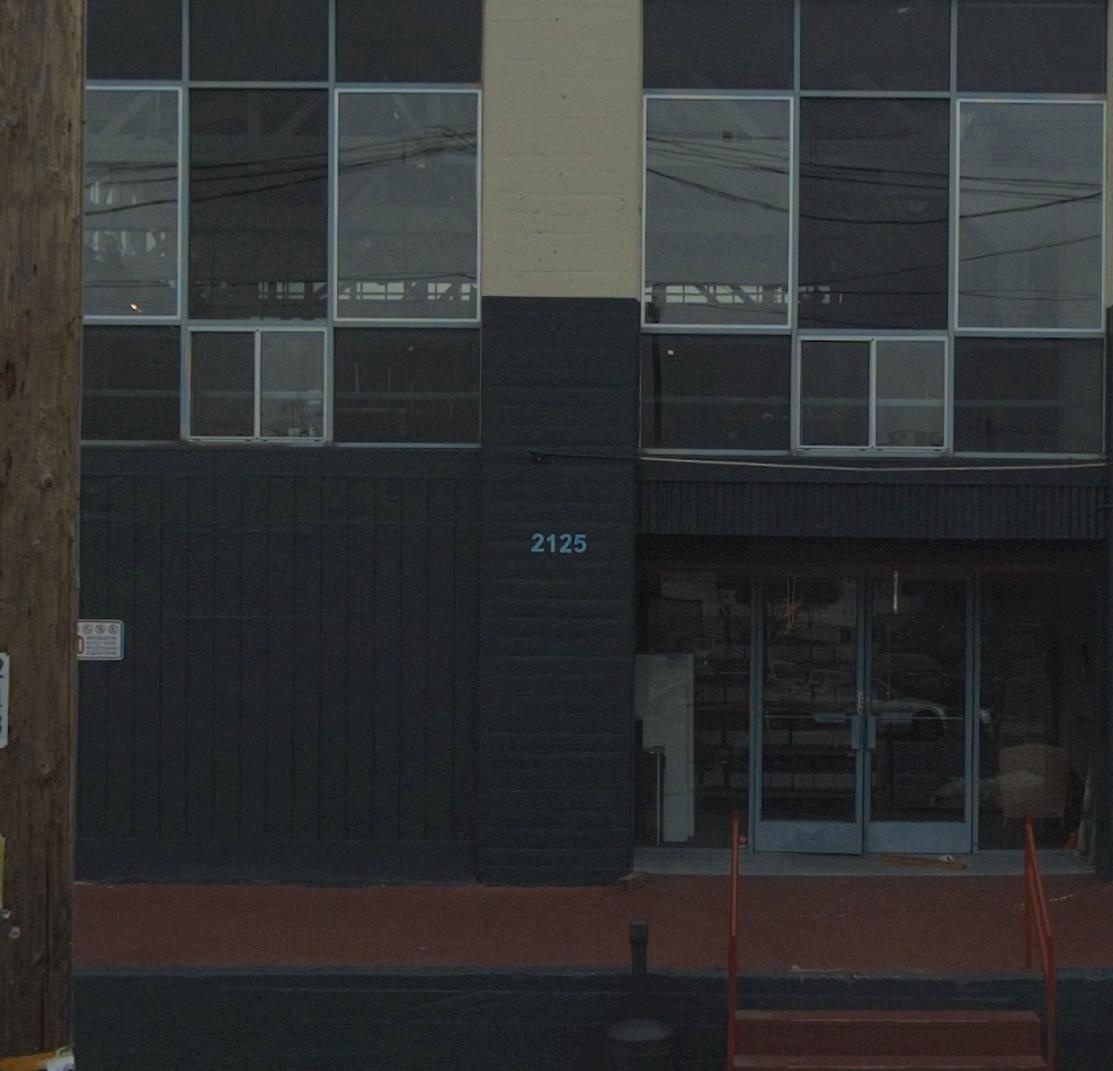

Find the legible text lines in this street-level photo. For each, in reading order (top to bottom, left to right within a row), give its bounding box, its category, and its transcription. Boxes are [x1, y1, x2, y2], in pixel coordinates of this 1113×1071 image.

[529, 532, 589, 555] StreetNumber: 2125